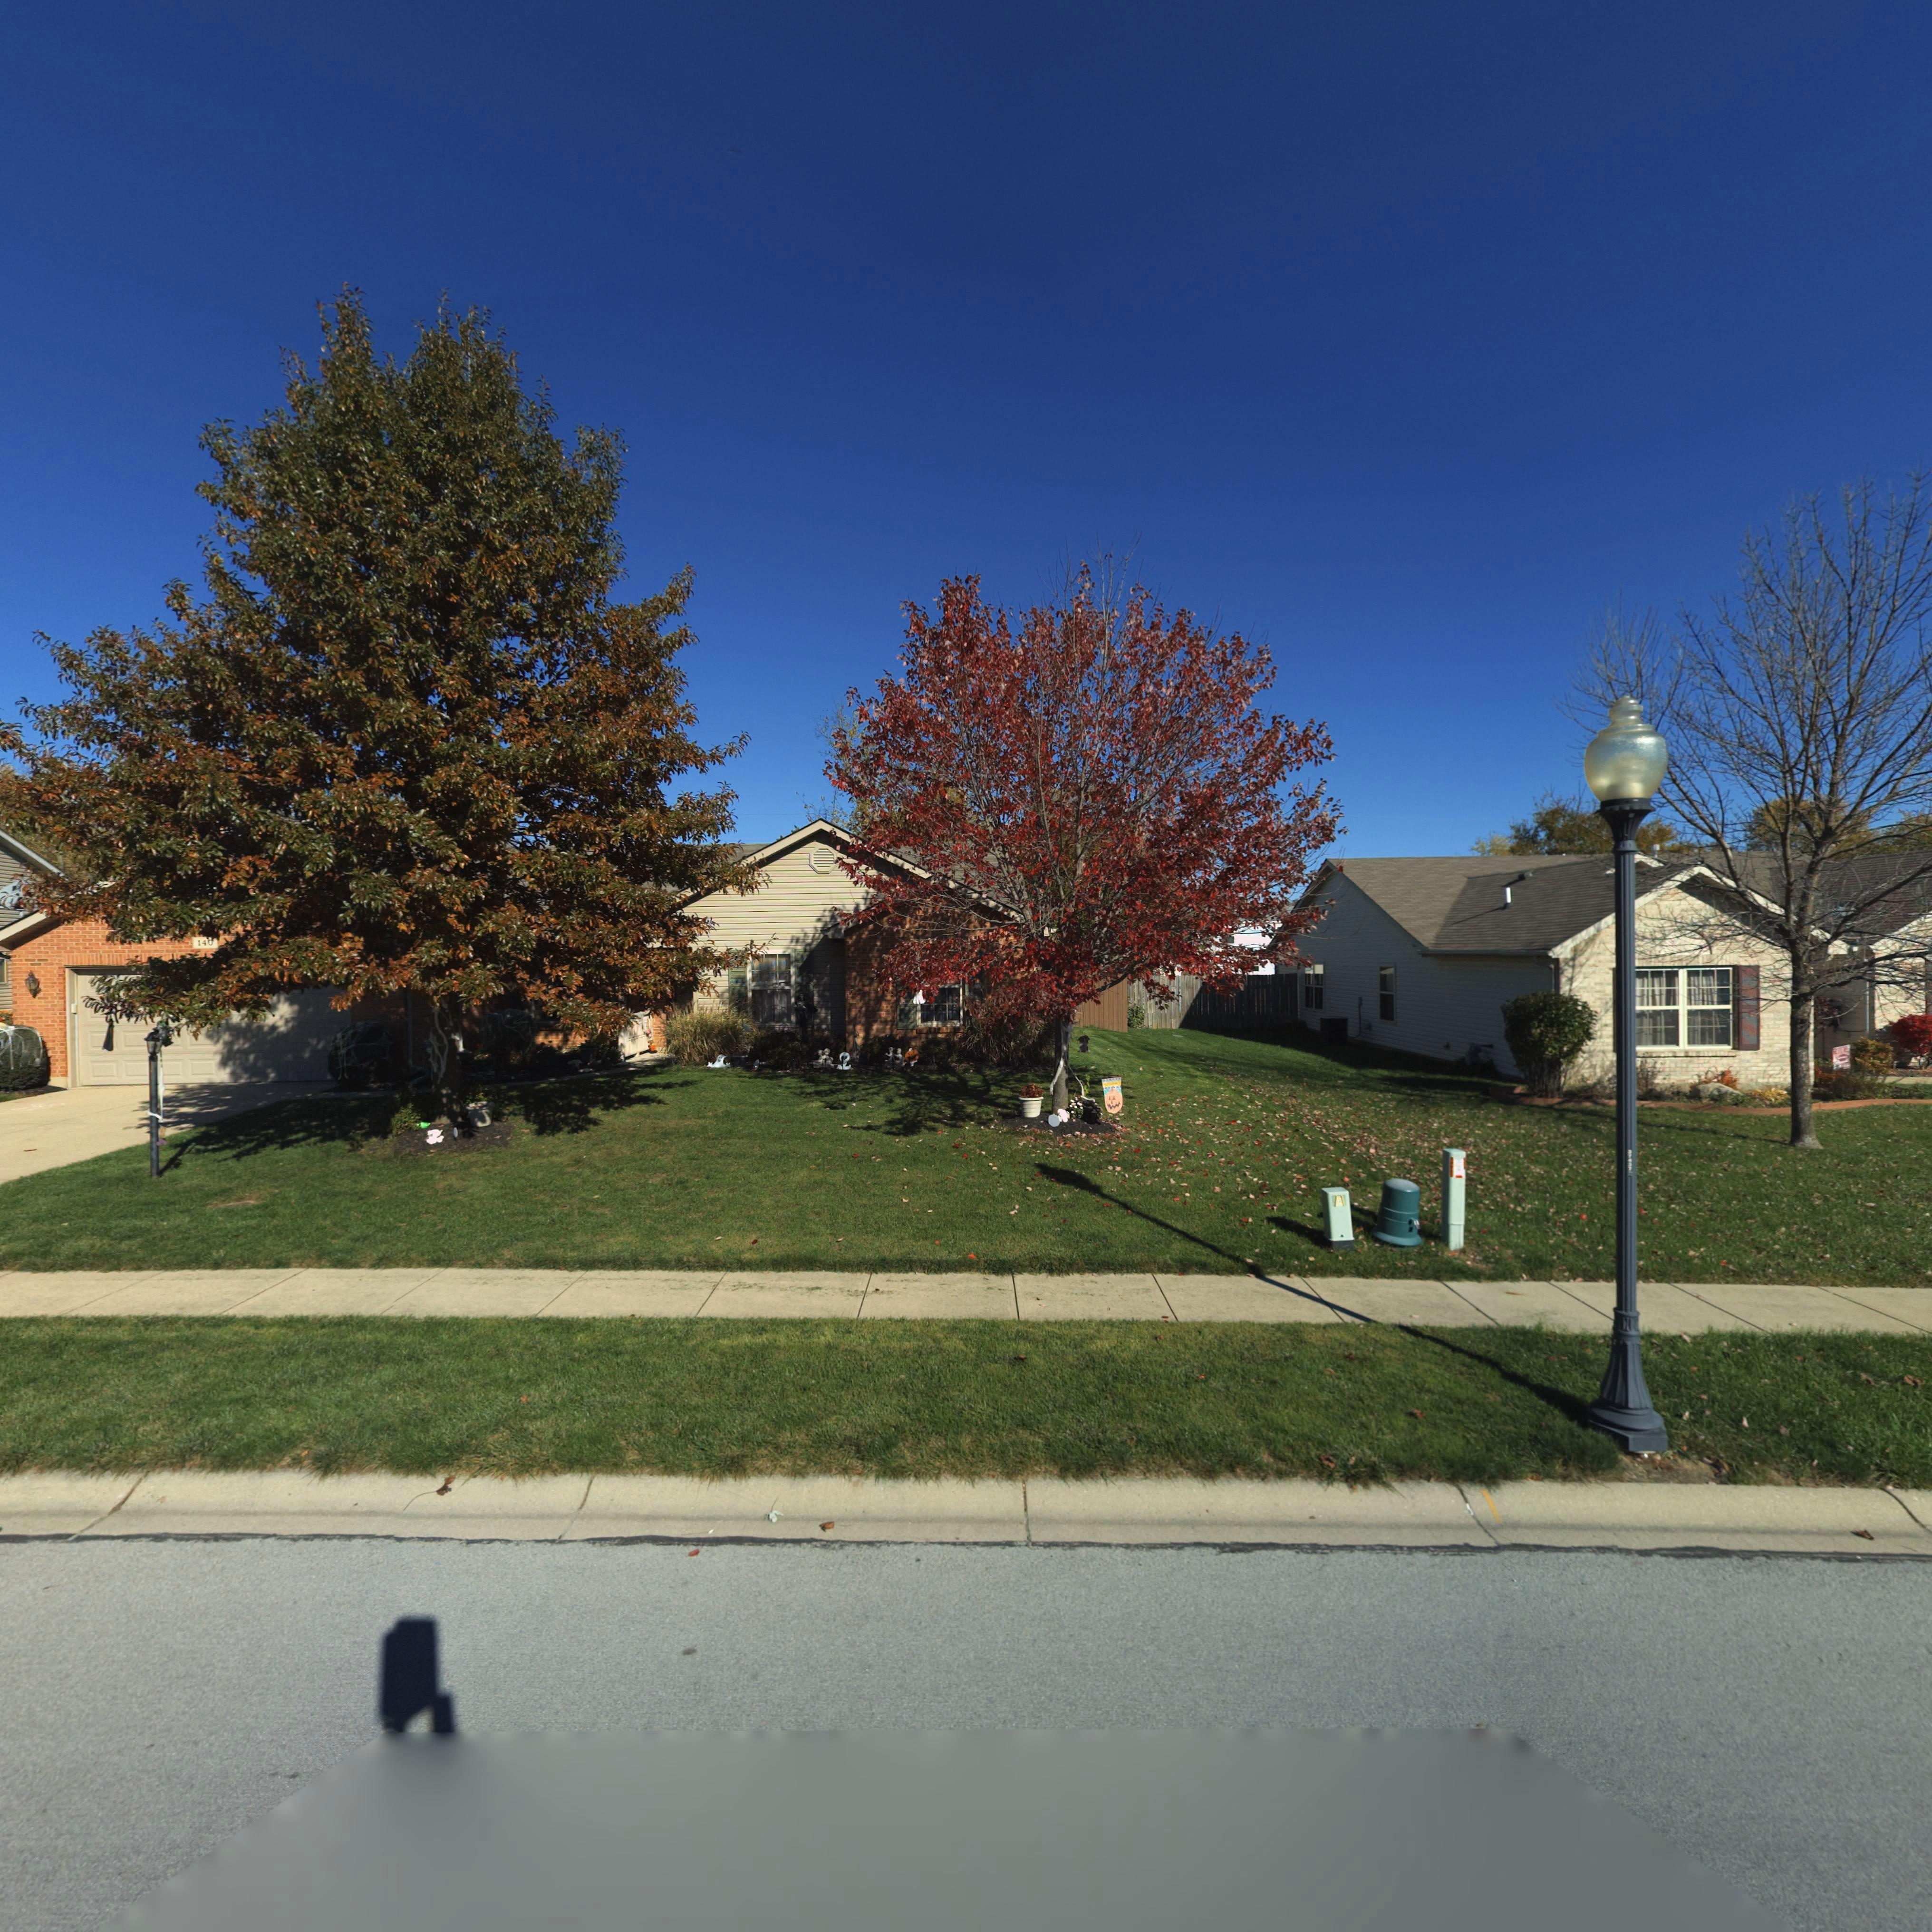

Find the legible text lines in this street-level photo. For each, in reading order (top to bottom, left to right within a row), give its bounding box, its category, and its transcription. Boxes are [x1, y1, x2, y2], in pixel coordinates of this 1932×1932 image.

[197, 939, 214, 946] StreetNumber: 140